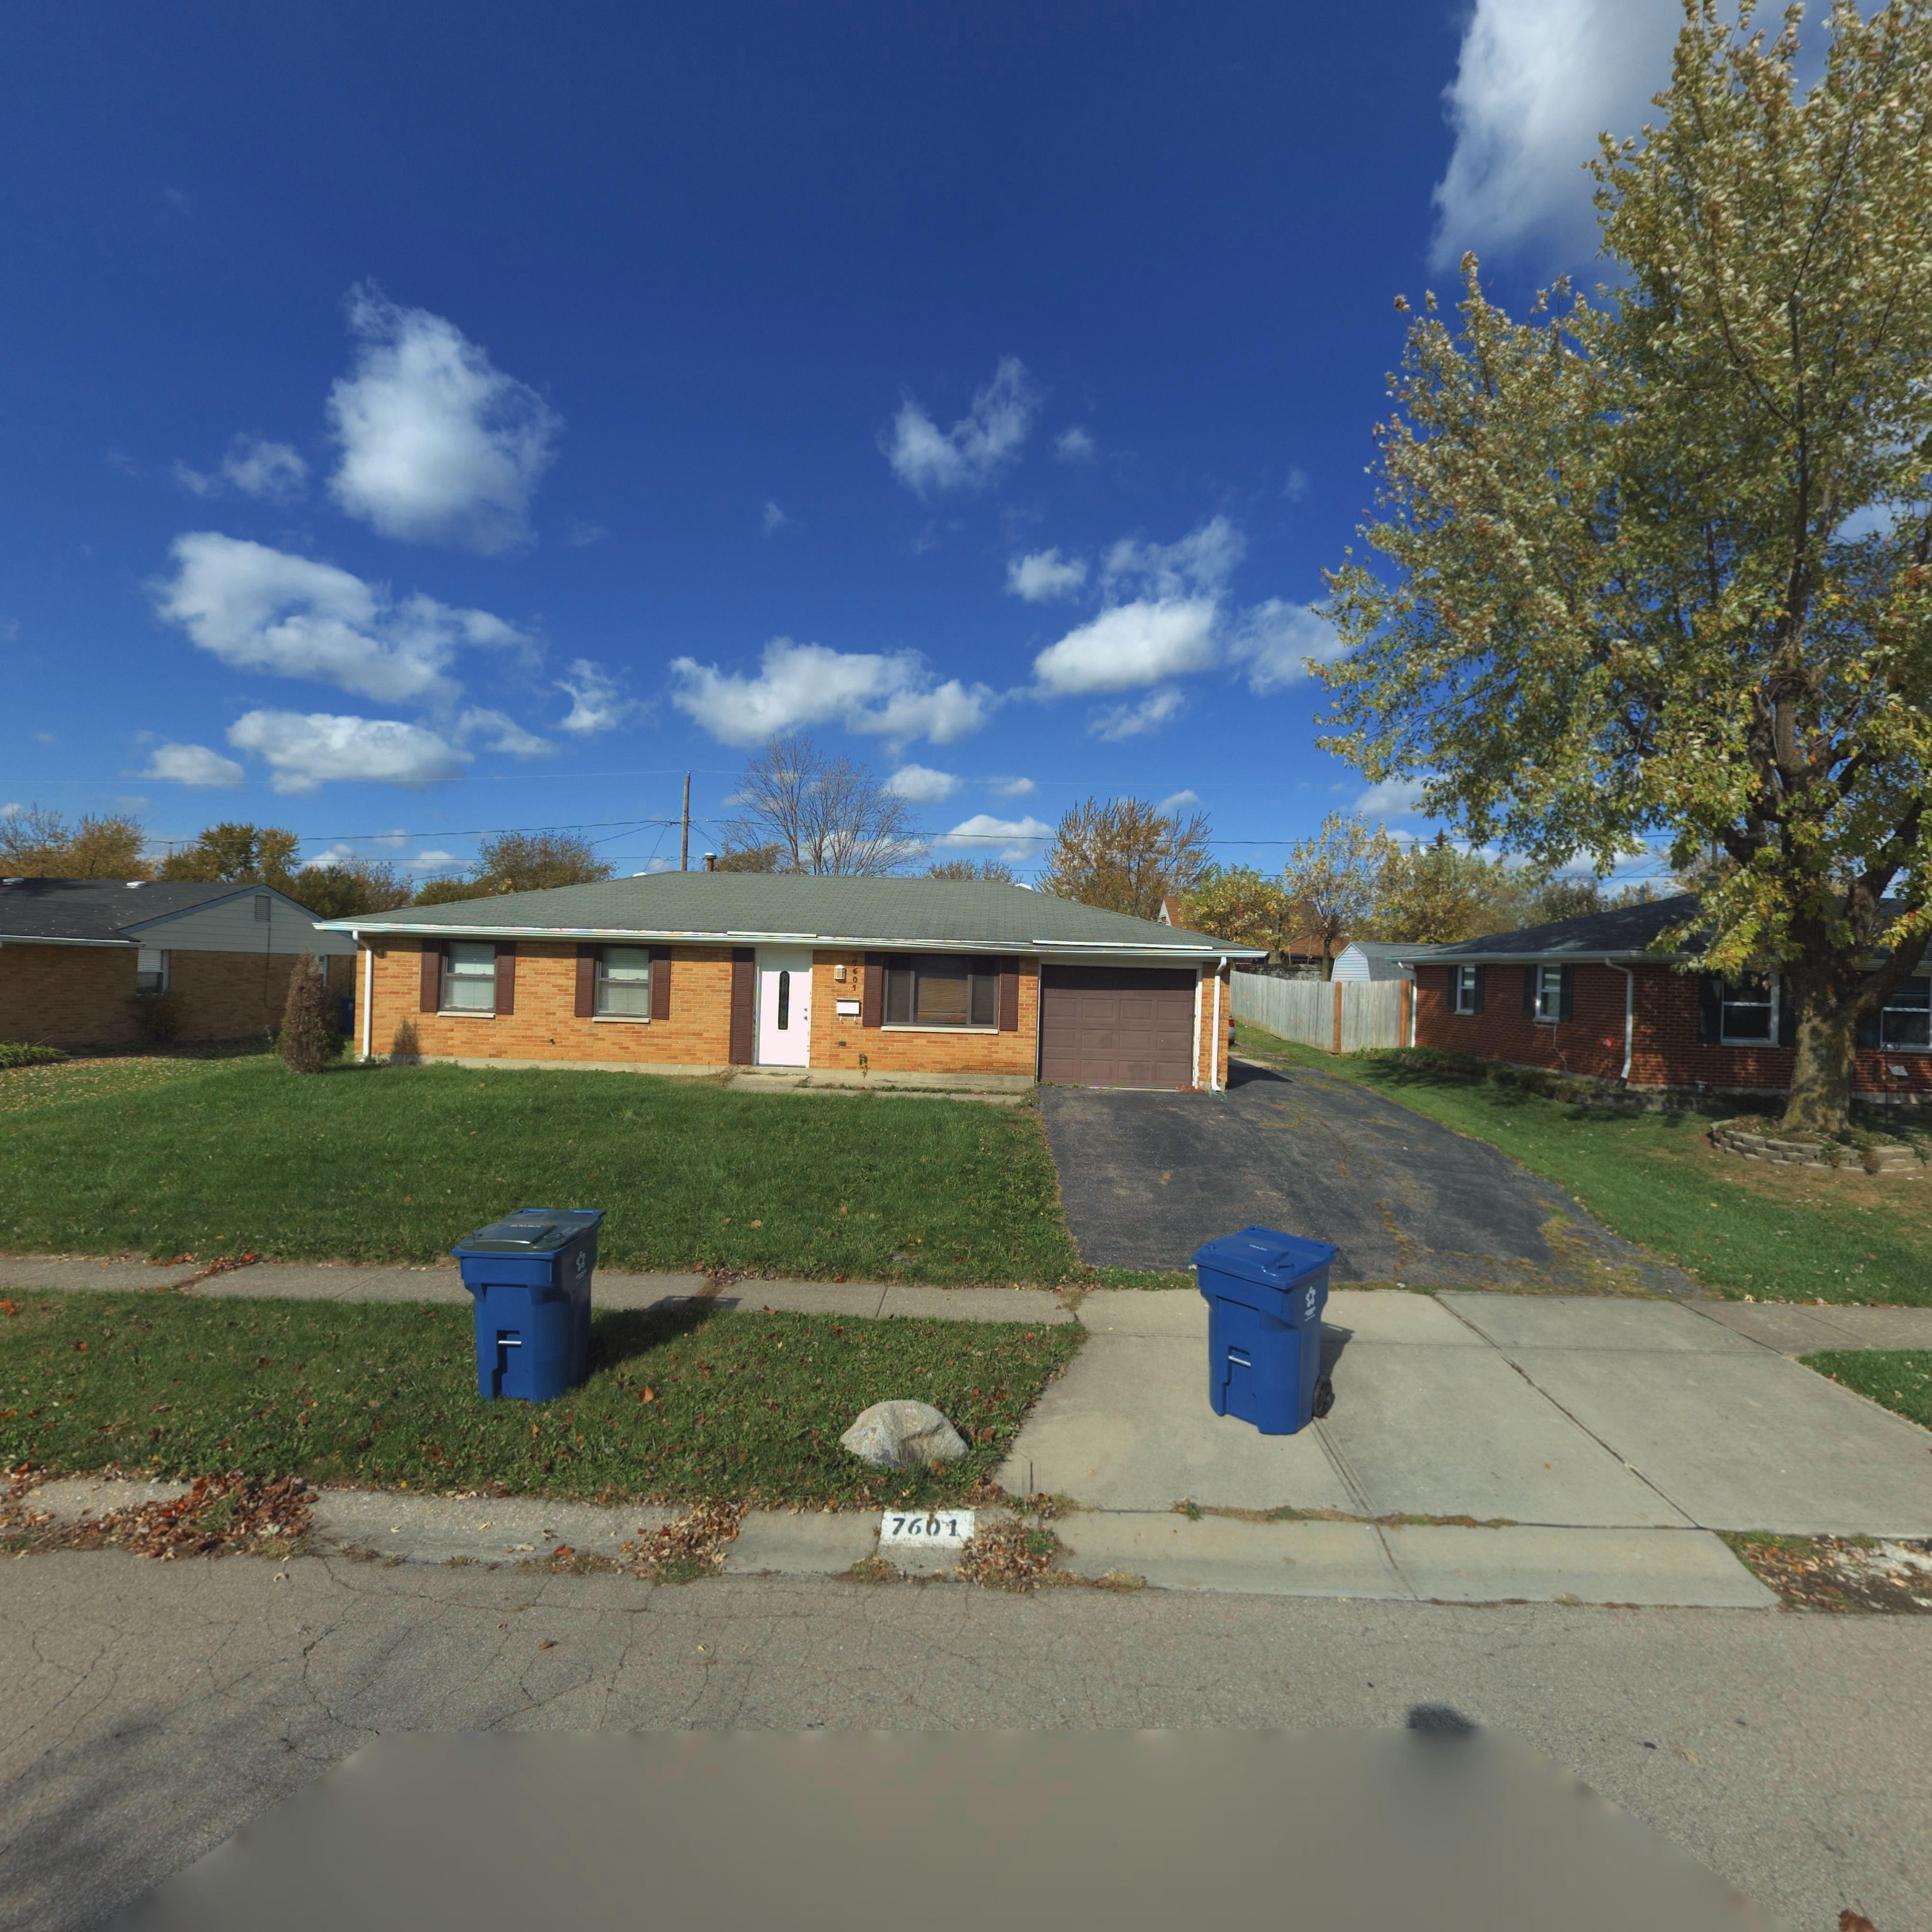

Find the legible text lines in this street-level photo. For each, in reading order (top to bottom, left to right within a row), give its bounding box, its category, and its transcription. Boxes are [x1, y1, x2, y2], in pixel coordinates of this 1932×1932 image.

[852, 959, 858, 992] StreetNumber: 7609
[891, 1517, 958, 1537] StreetNumber: 7601